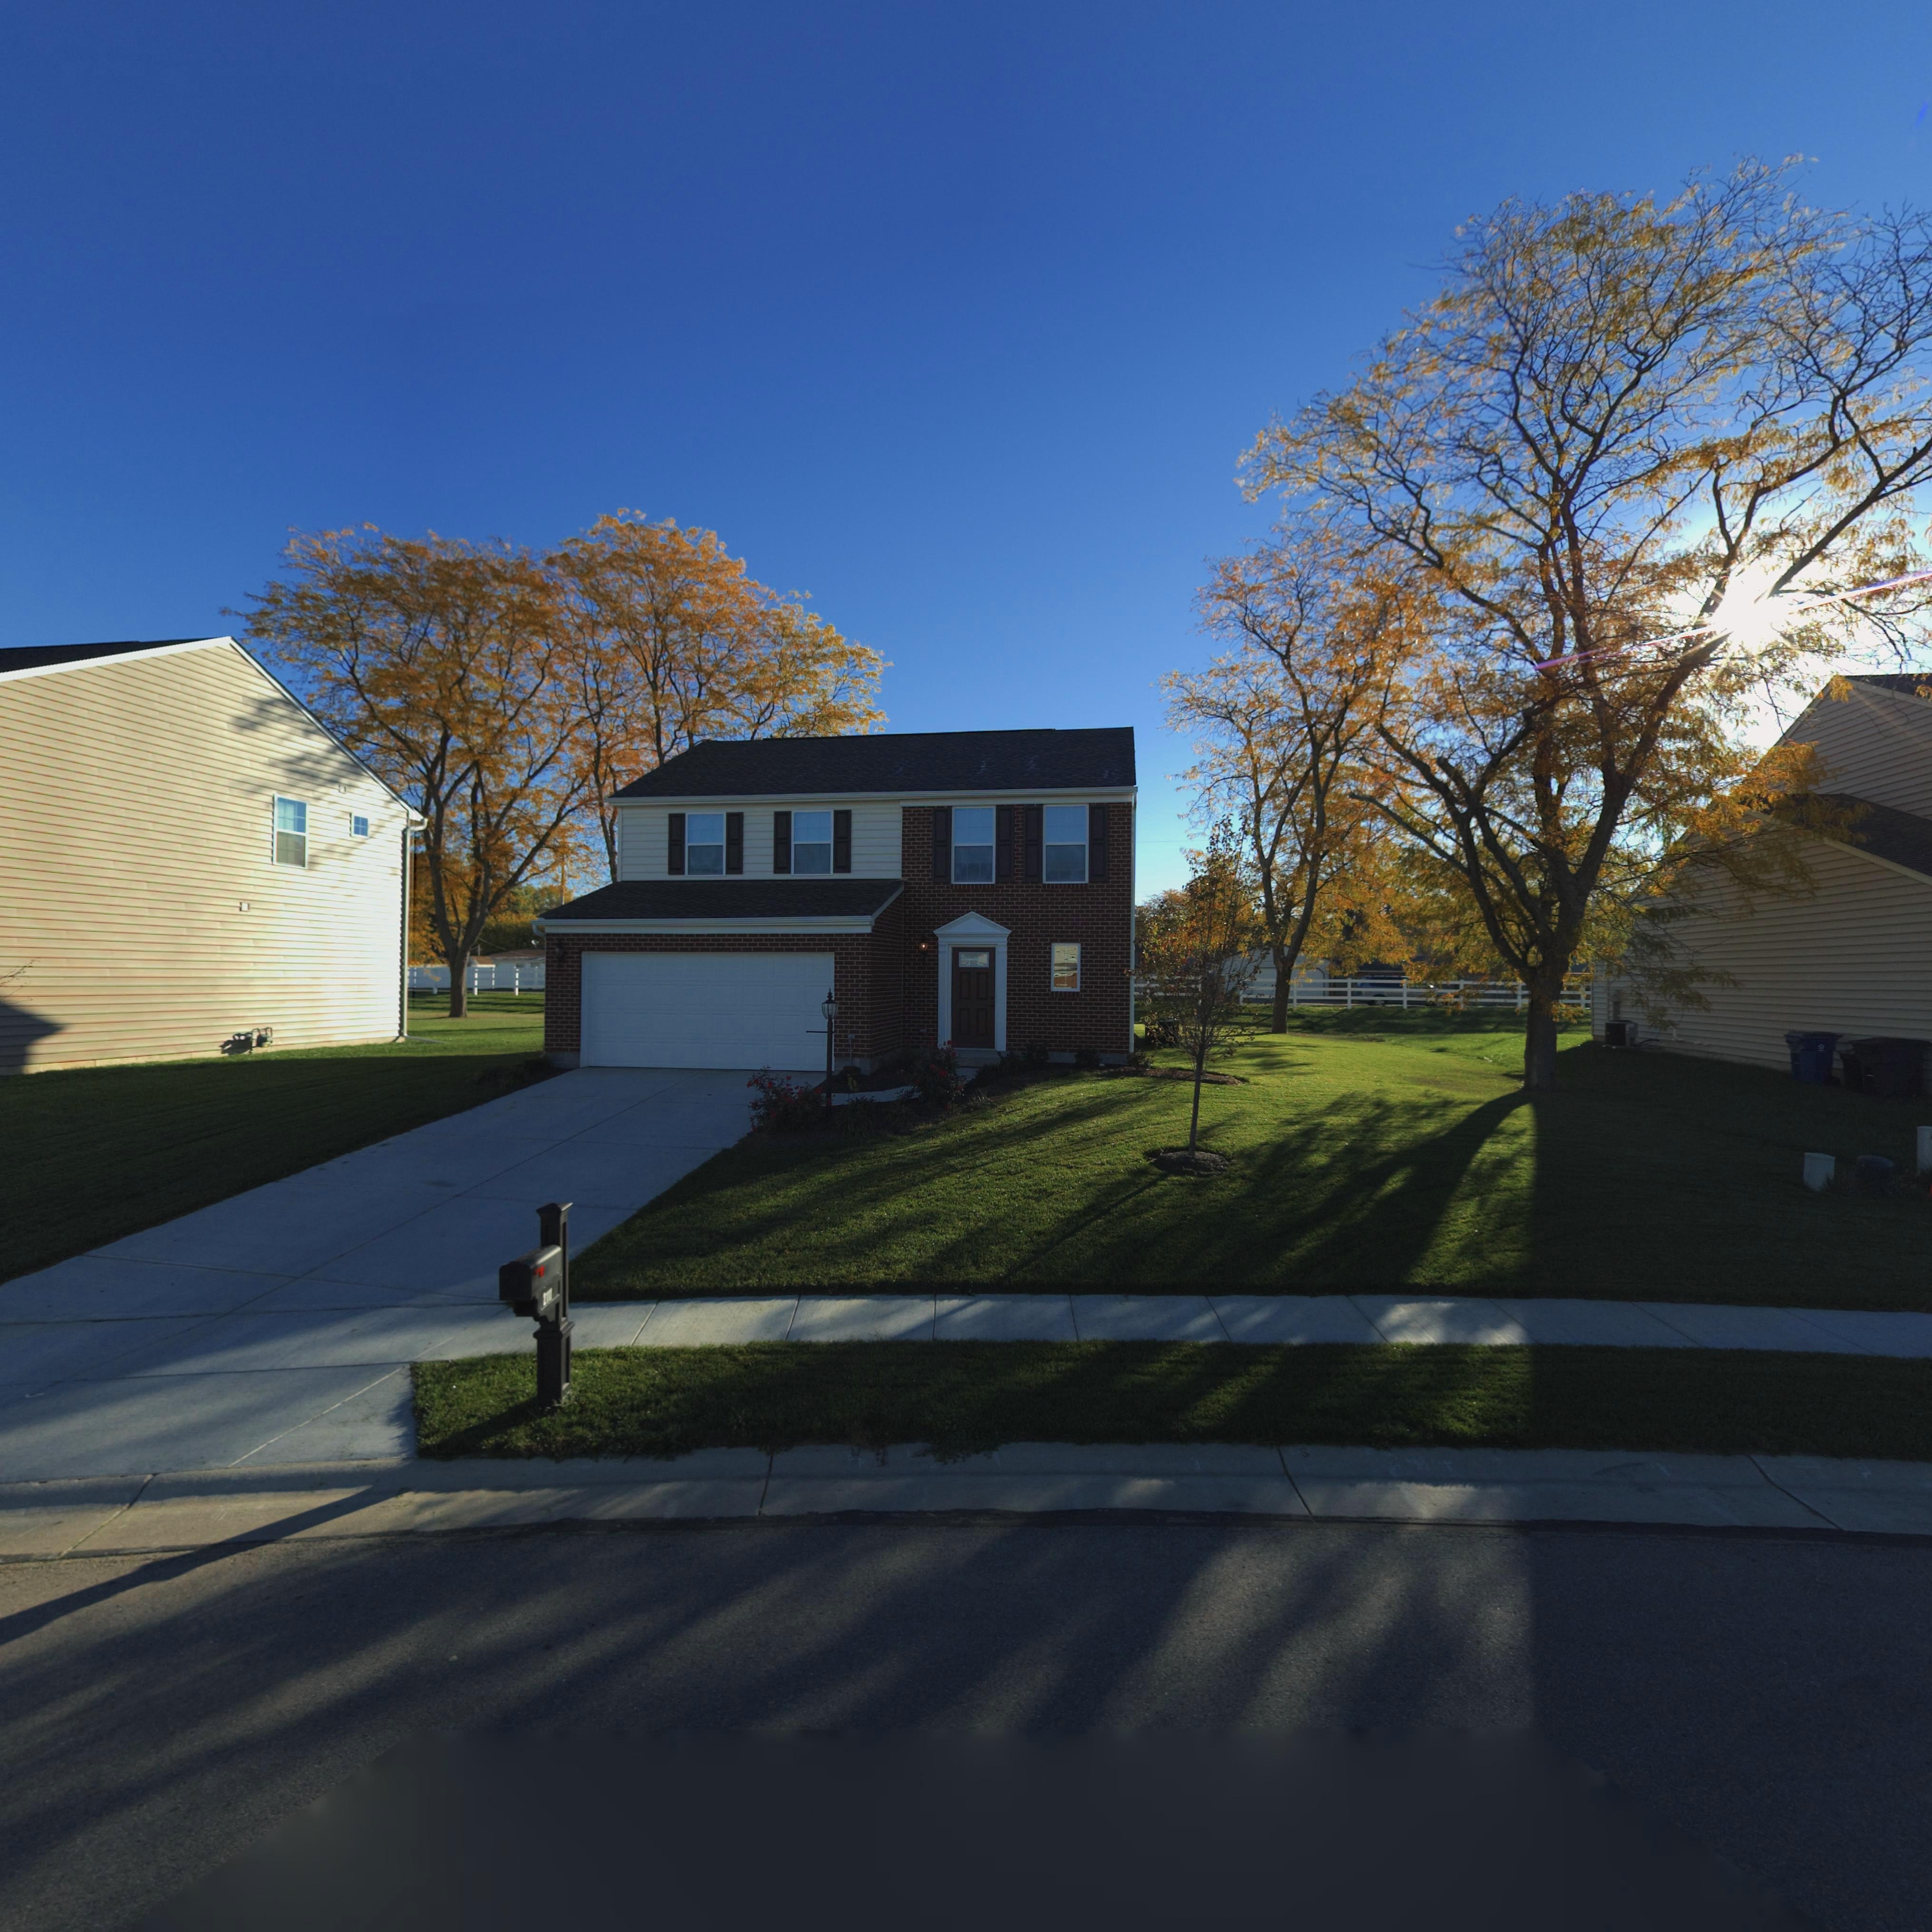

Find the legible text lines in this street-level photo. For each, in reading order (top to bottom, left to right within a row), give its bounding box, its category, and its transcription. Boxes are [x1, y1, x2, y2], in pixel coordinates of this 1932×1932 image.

[542, 1290, 548, 1308] StreetNumber: 2